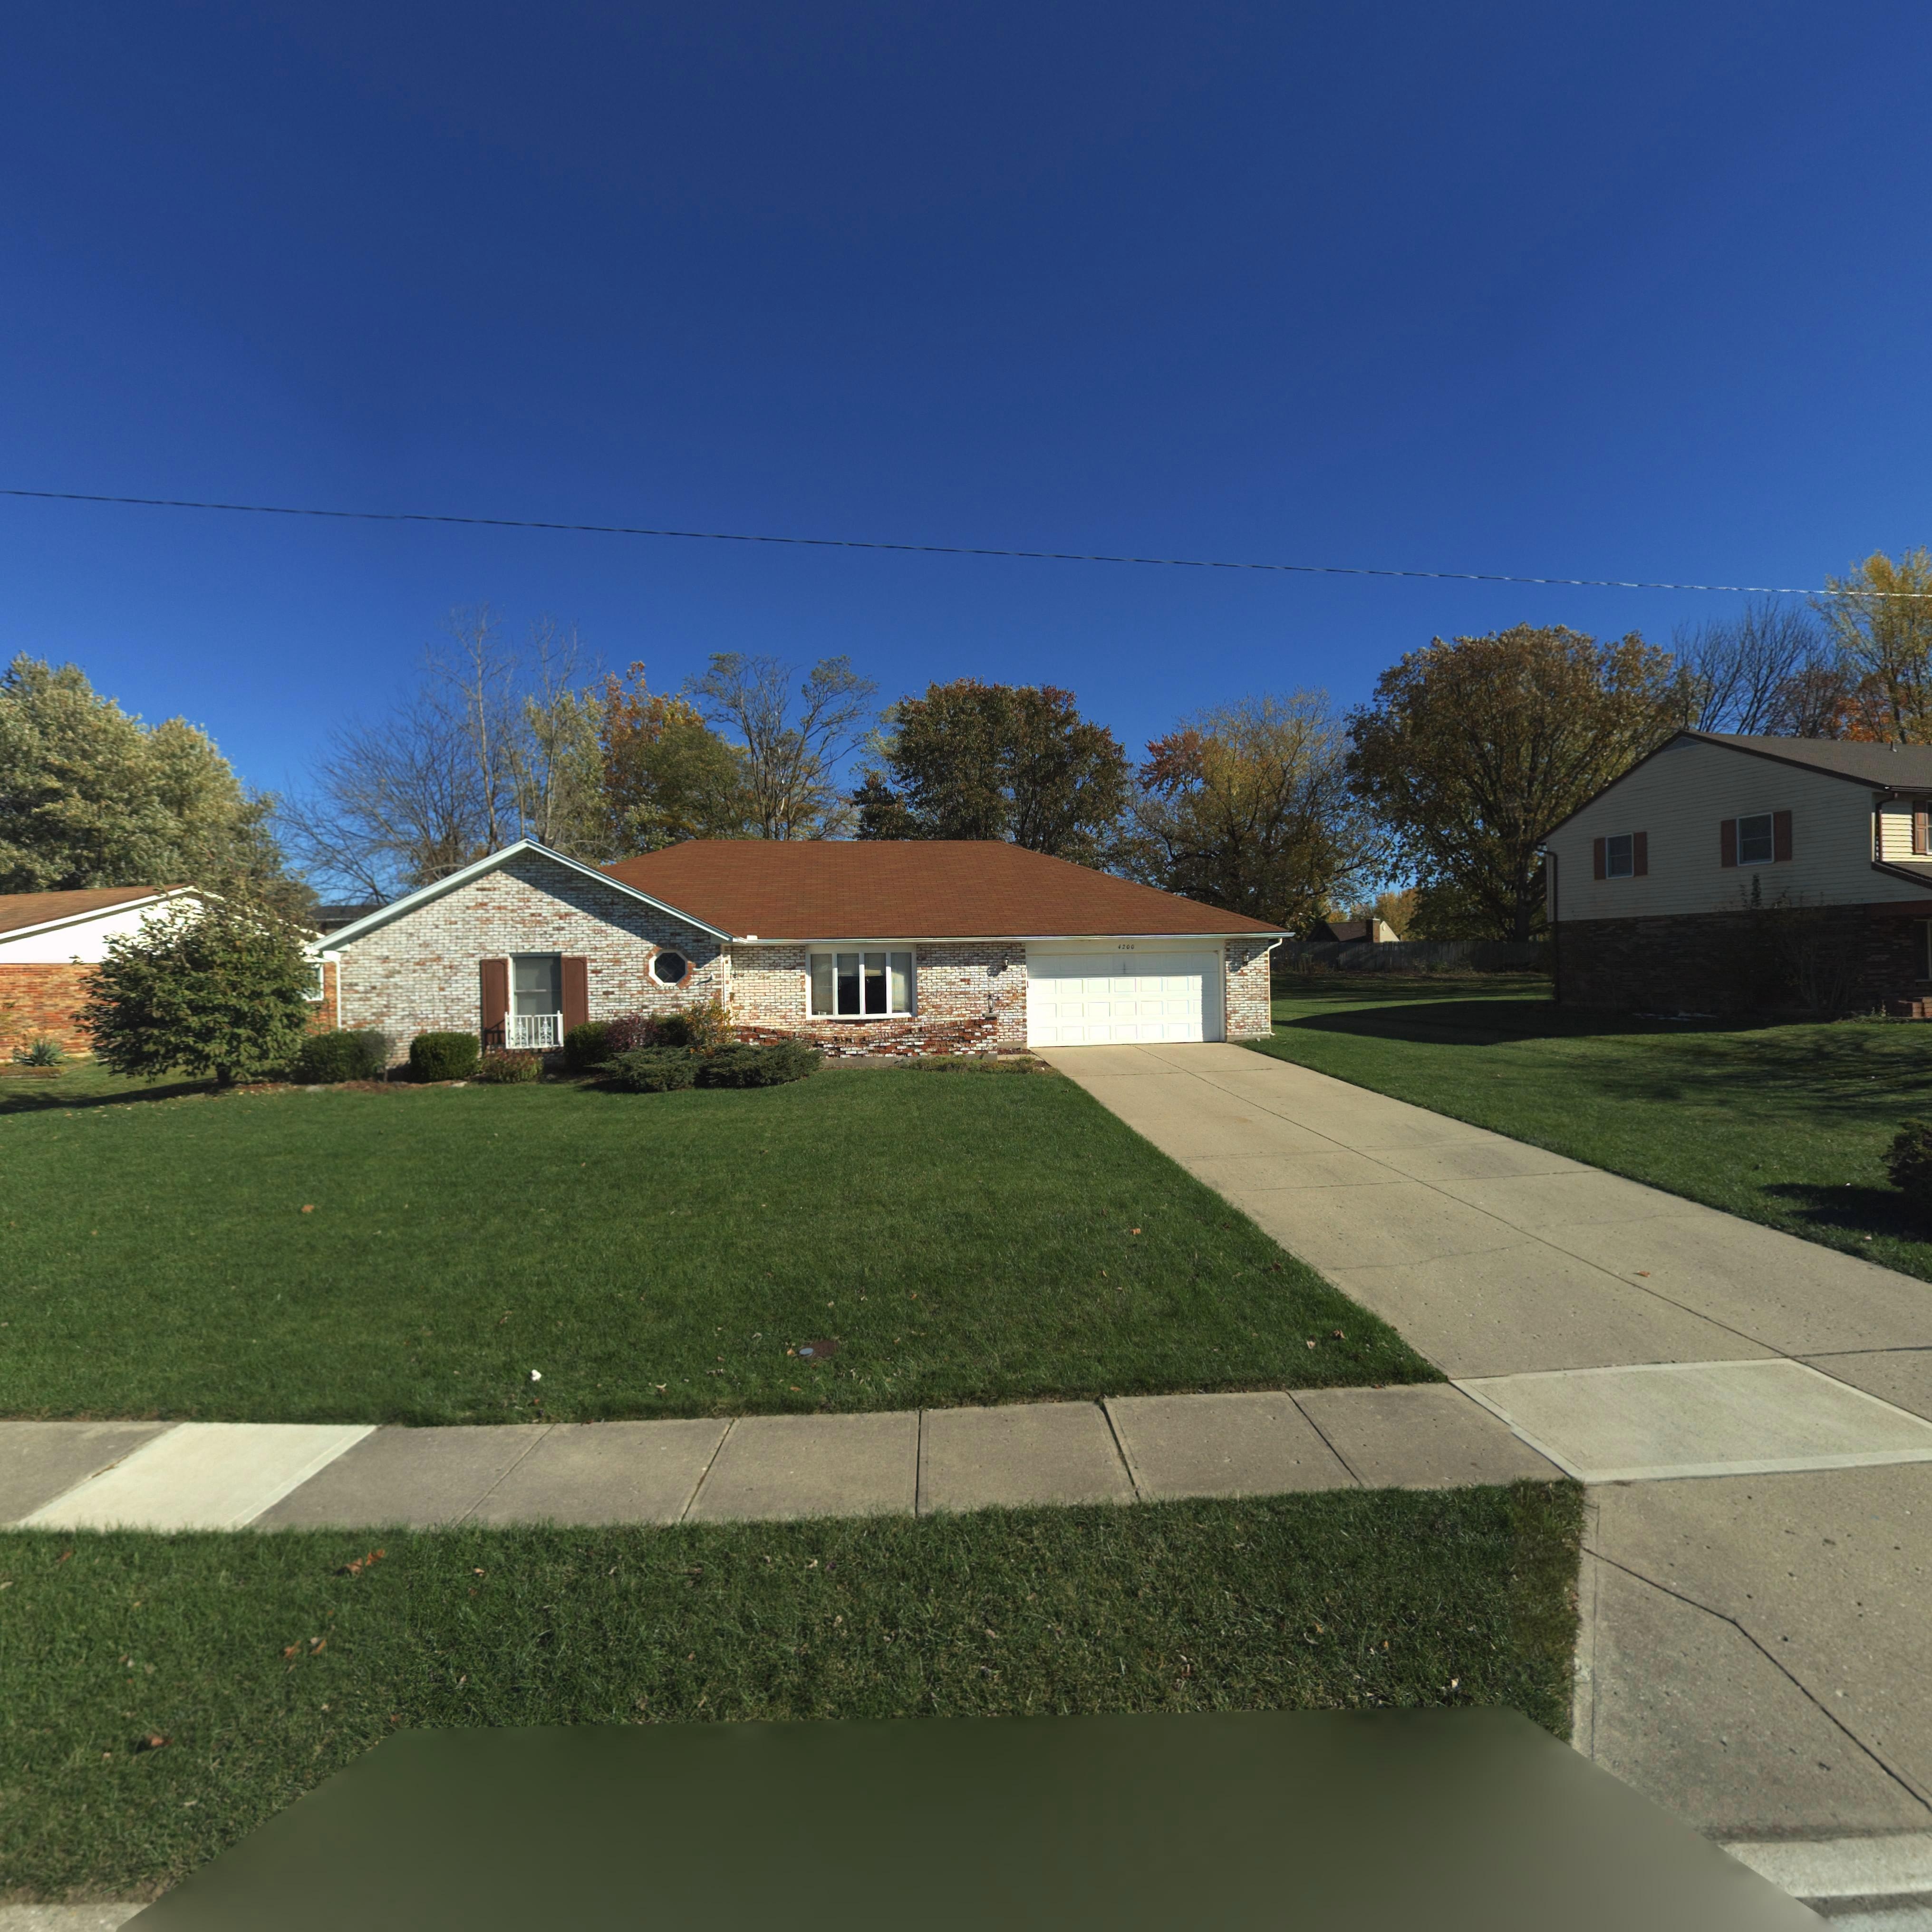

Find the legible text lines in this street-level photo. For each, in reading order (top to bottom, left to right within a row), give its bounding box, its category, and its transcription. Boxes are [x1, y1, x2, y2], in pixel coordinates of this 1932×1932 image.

[1117, 944, 1135, 950] StreetNumber: 4200